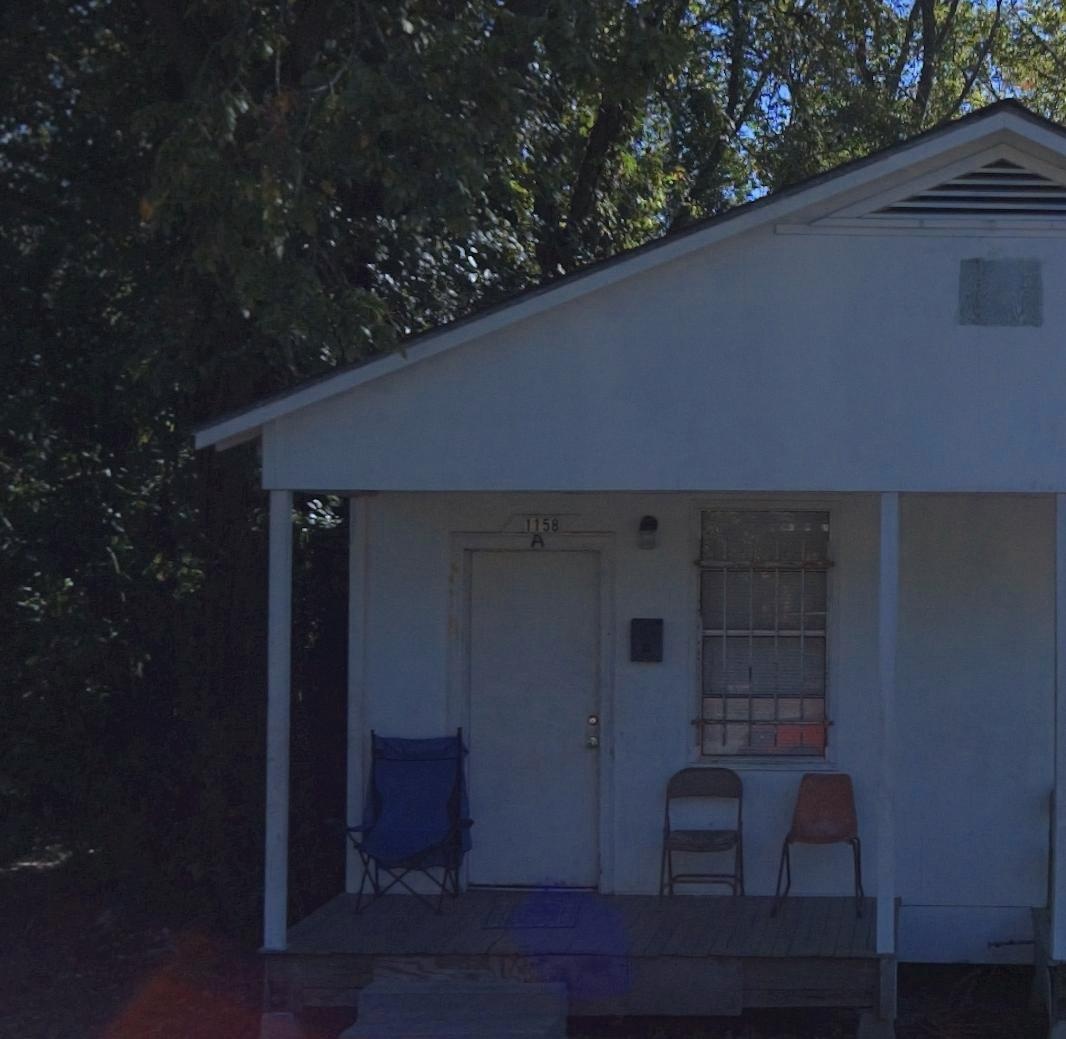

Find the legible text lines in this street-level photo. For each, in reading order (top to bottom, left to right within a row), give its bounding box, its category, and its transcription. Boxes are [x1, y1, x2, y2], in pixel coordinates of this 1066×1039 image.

[524, 516, 560, 534] StreetNumber: 1158
[528, 532, 548, 550] StreetNumber: A